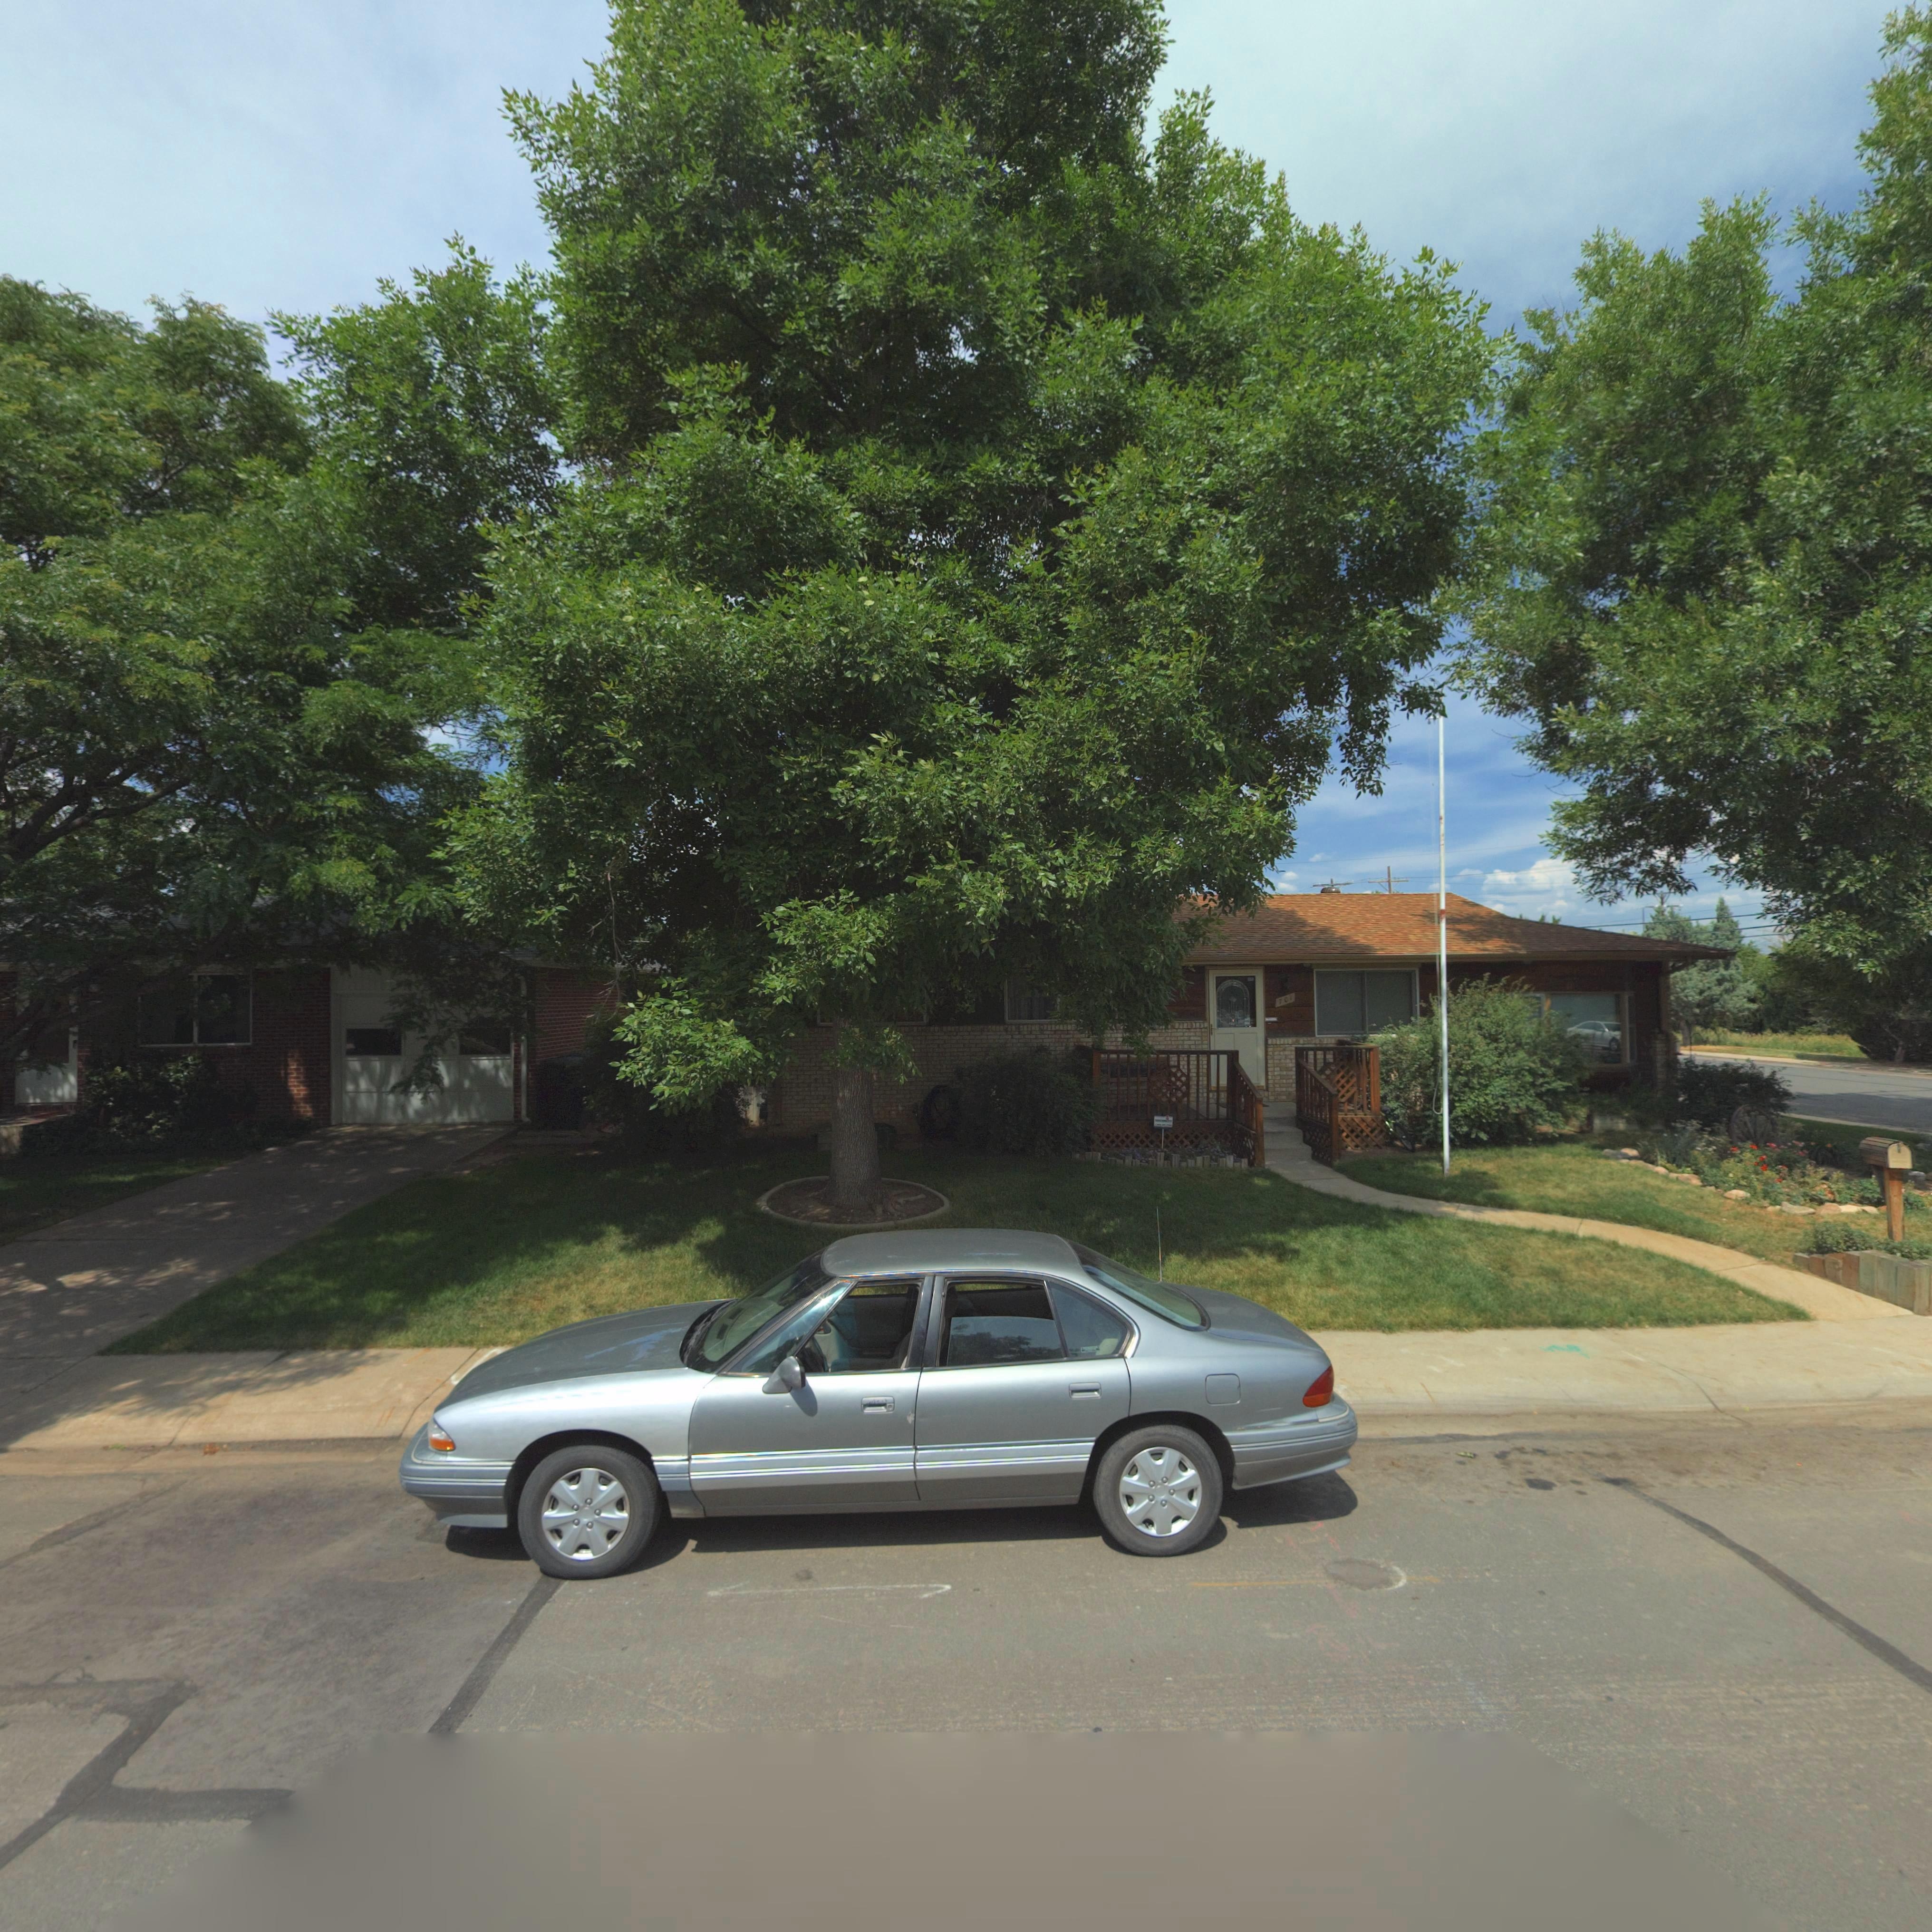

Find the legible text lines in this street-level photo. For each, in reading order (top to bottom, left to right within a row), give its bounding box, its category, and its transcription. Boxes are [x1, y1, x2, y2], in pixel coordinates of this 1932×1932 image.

[1277, 994, 1293, 1005] StreetNumber: 701